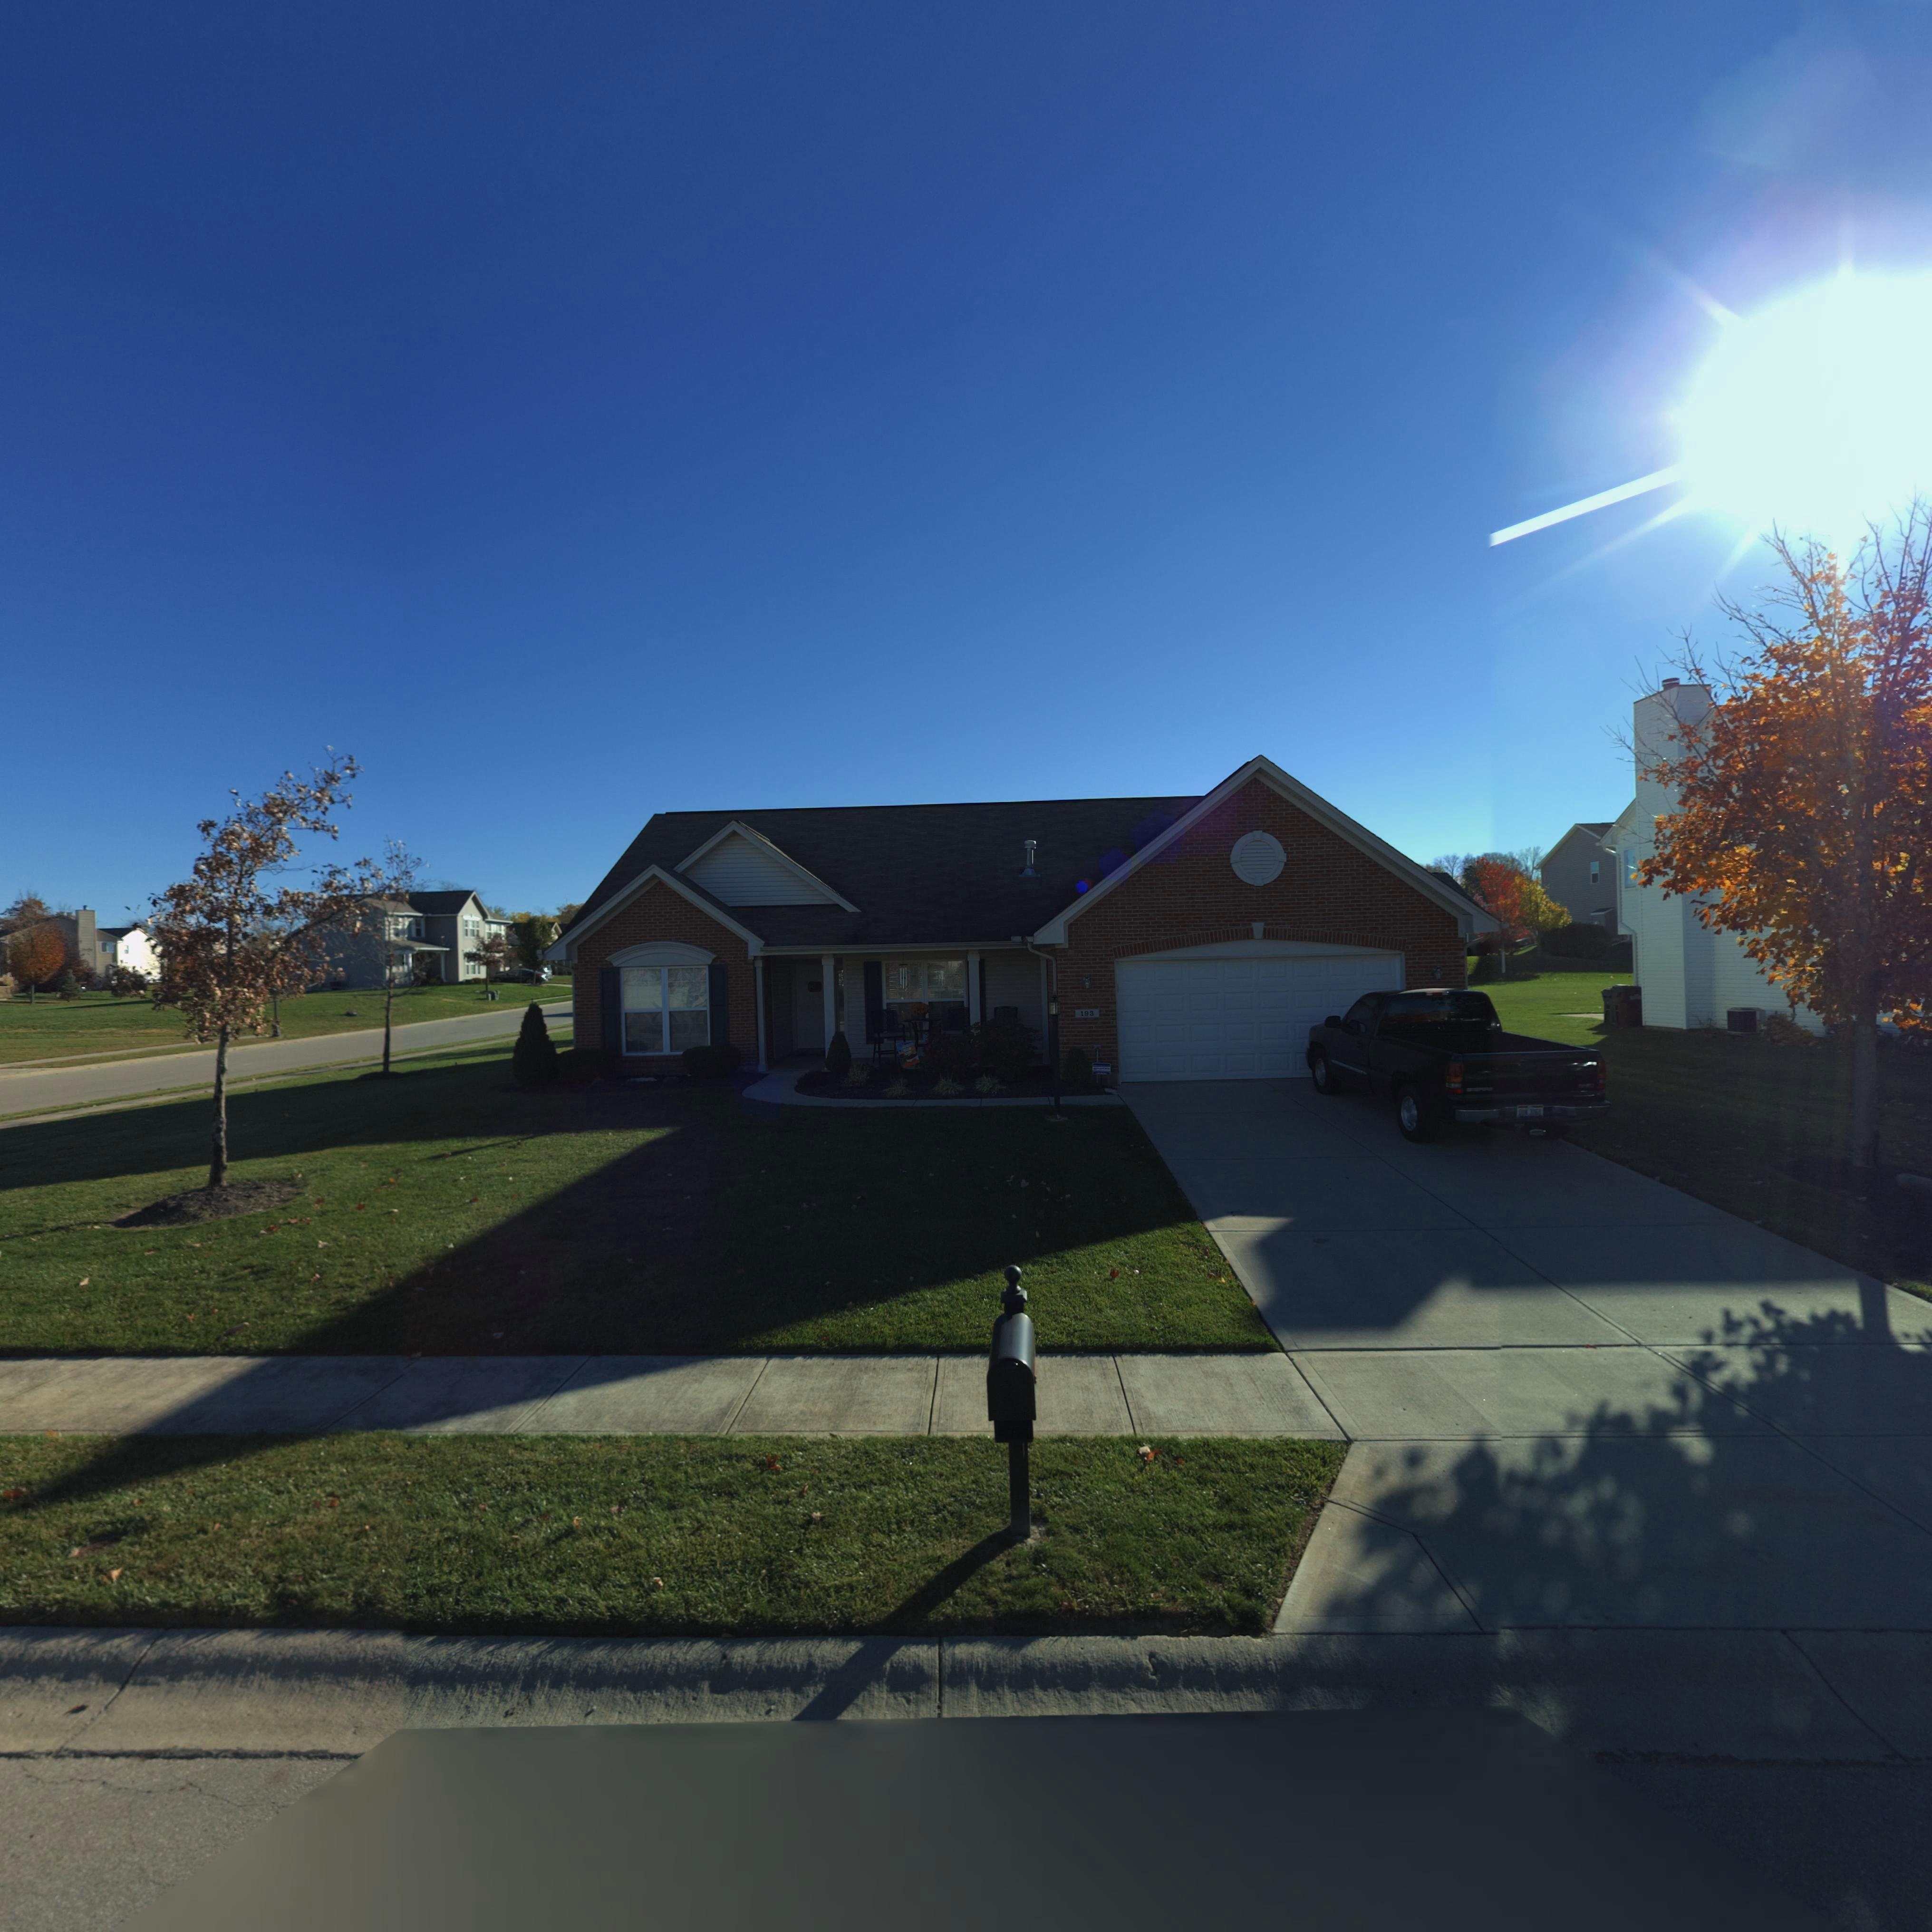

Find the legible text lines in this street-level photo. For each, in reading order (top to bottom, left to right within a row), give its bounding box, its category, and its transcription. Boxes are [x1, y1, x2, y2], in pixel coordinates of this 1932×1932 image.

[1080, 1010, 1095, 1017] StreetNumber: 193